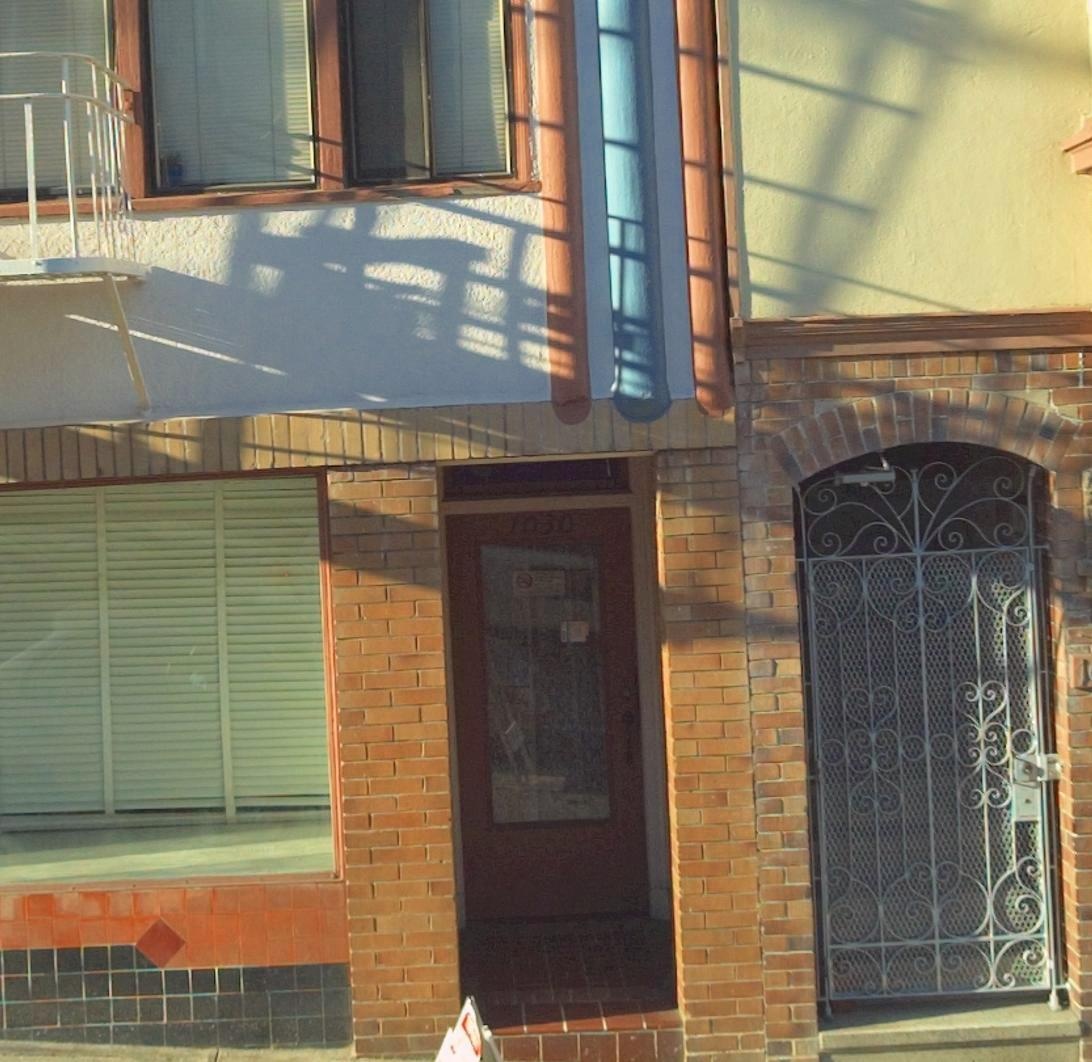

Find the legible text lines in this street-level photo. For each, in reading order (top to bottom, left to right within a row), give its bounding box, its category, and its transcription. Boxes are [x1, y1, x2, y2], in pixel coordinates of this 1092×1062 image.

[504, 510, 575, 538] StreetNumber: 1030